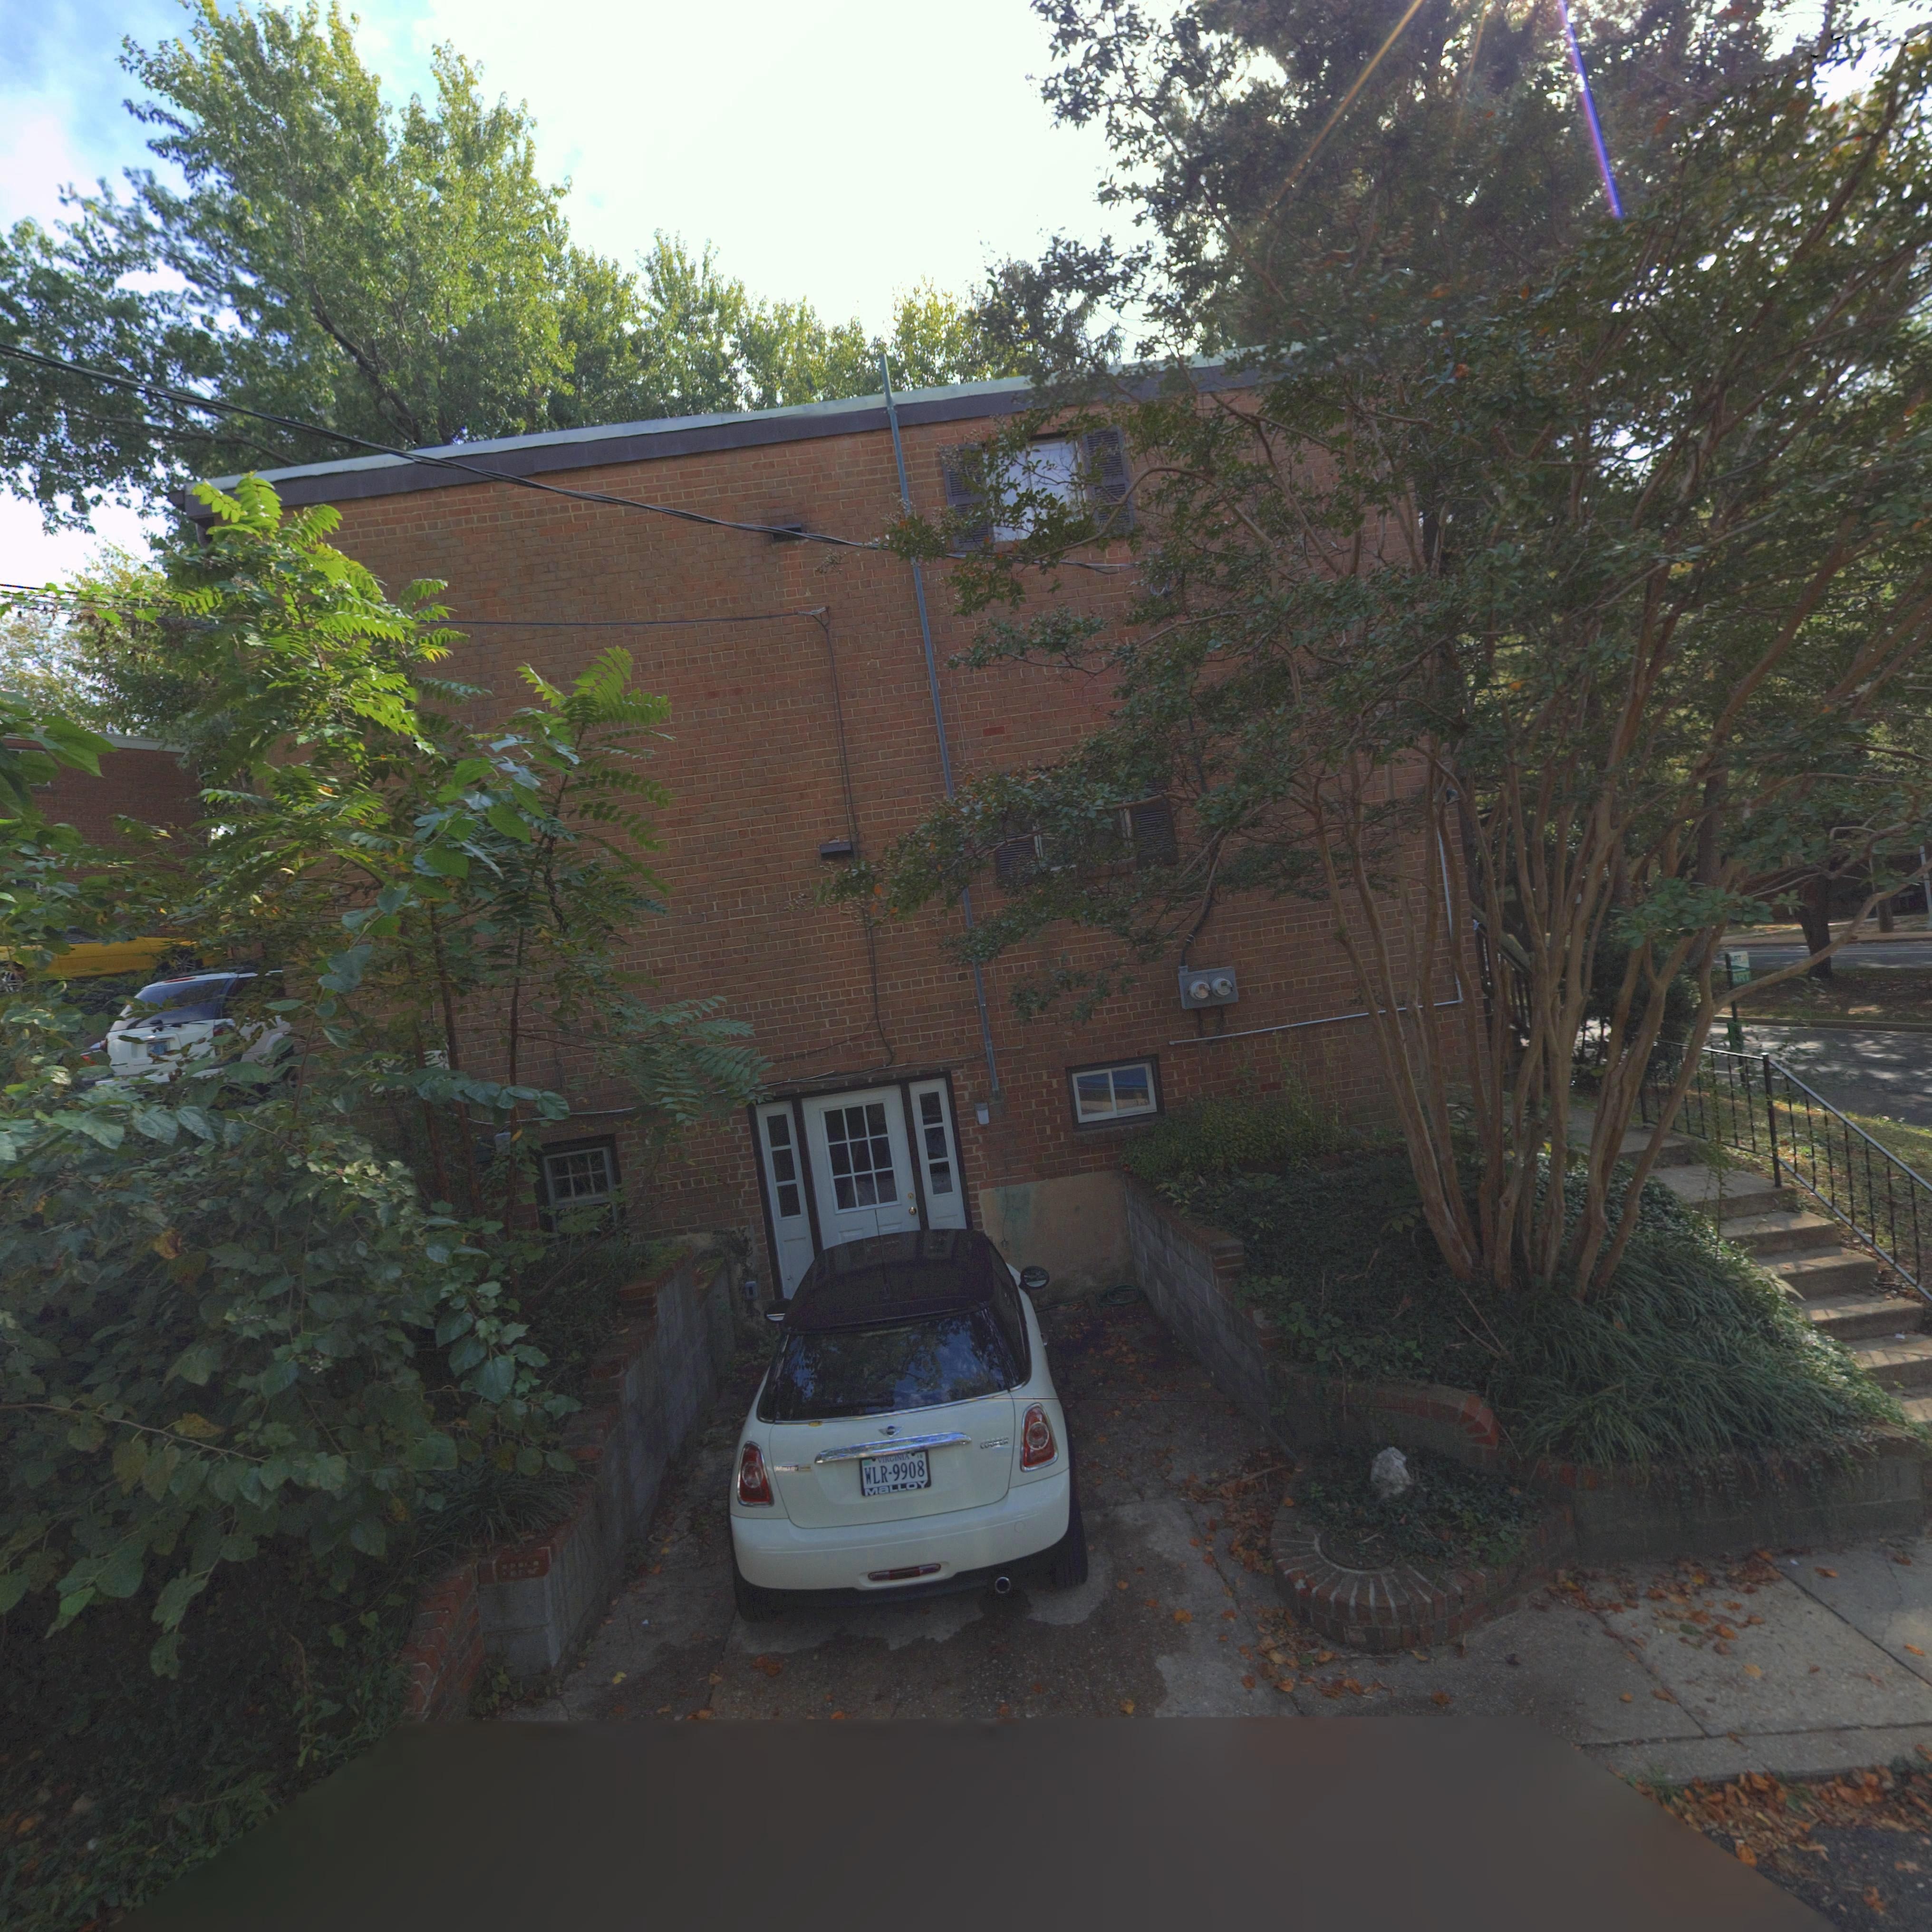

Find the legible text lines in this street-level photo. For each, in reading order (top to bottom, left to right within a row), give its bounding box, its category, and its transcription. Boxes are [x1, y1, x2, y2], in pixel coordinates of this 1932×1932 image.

[1731, 970, 1752, 984] None: ART
[876, 1453, 912, 1464] None: VIRGINIA
[861, 1458, 927, 1486] None: WLR-9908
[863, 1479, 929, 1498] None: MaLLOY